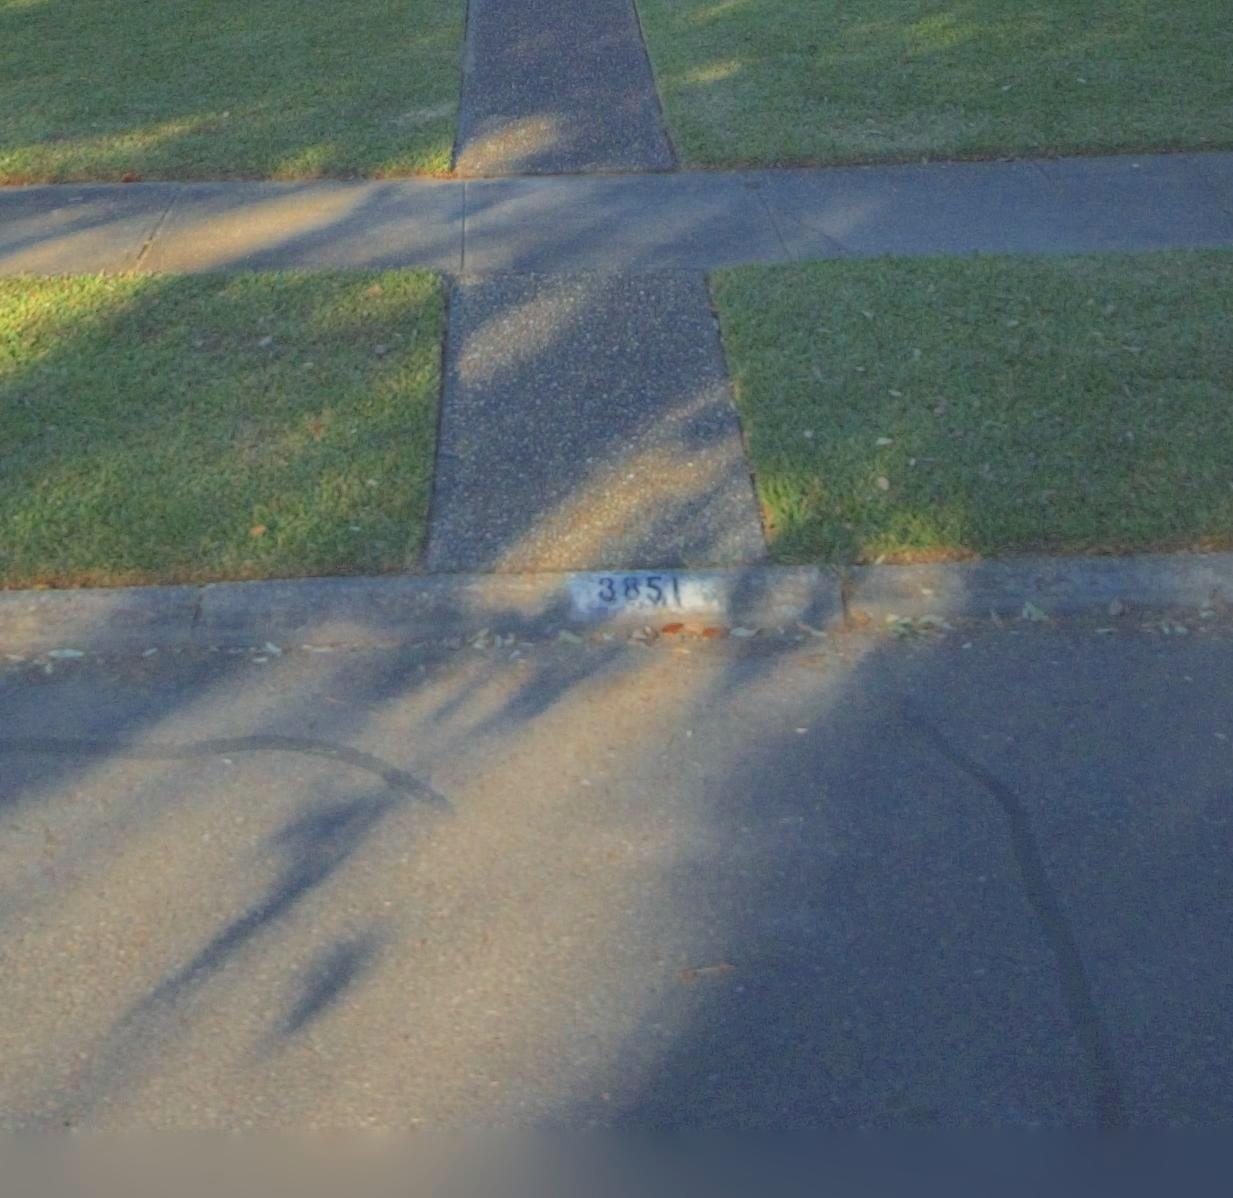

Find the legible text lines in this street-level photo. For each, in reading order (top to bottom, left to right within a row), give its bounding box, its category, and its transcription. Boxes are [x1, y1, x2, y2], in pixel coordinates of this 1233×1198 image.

[596, 574, 686, 606] StreetNumber: 3851